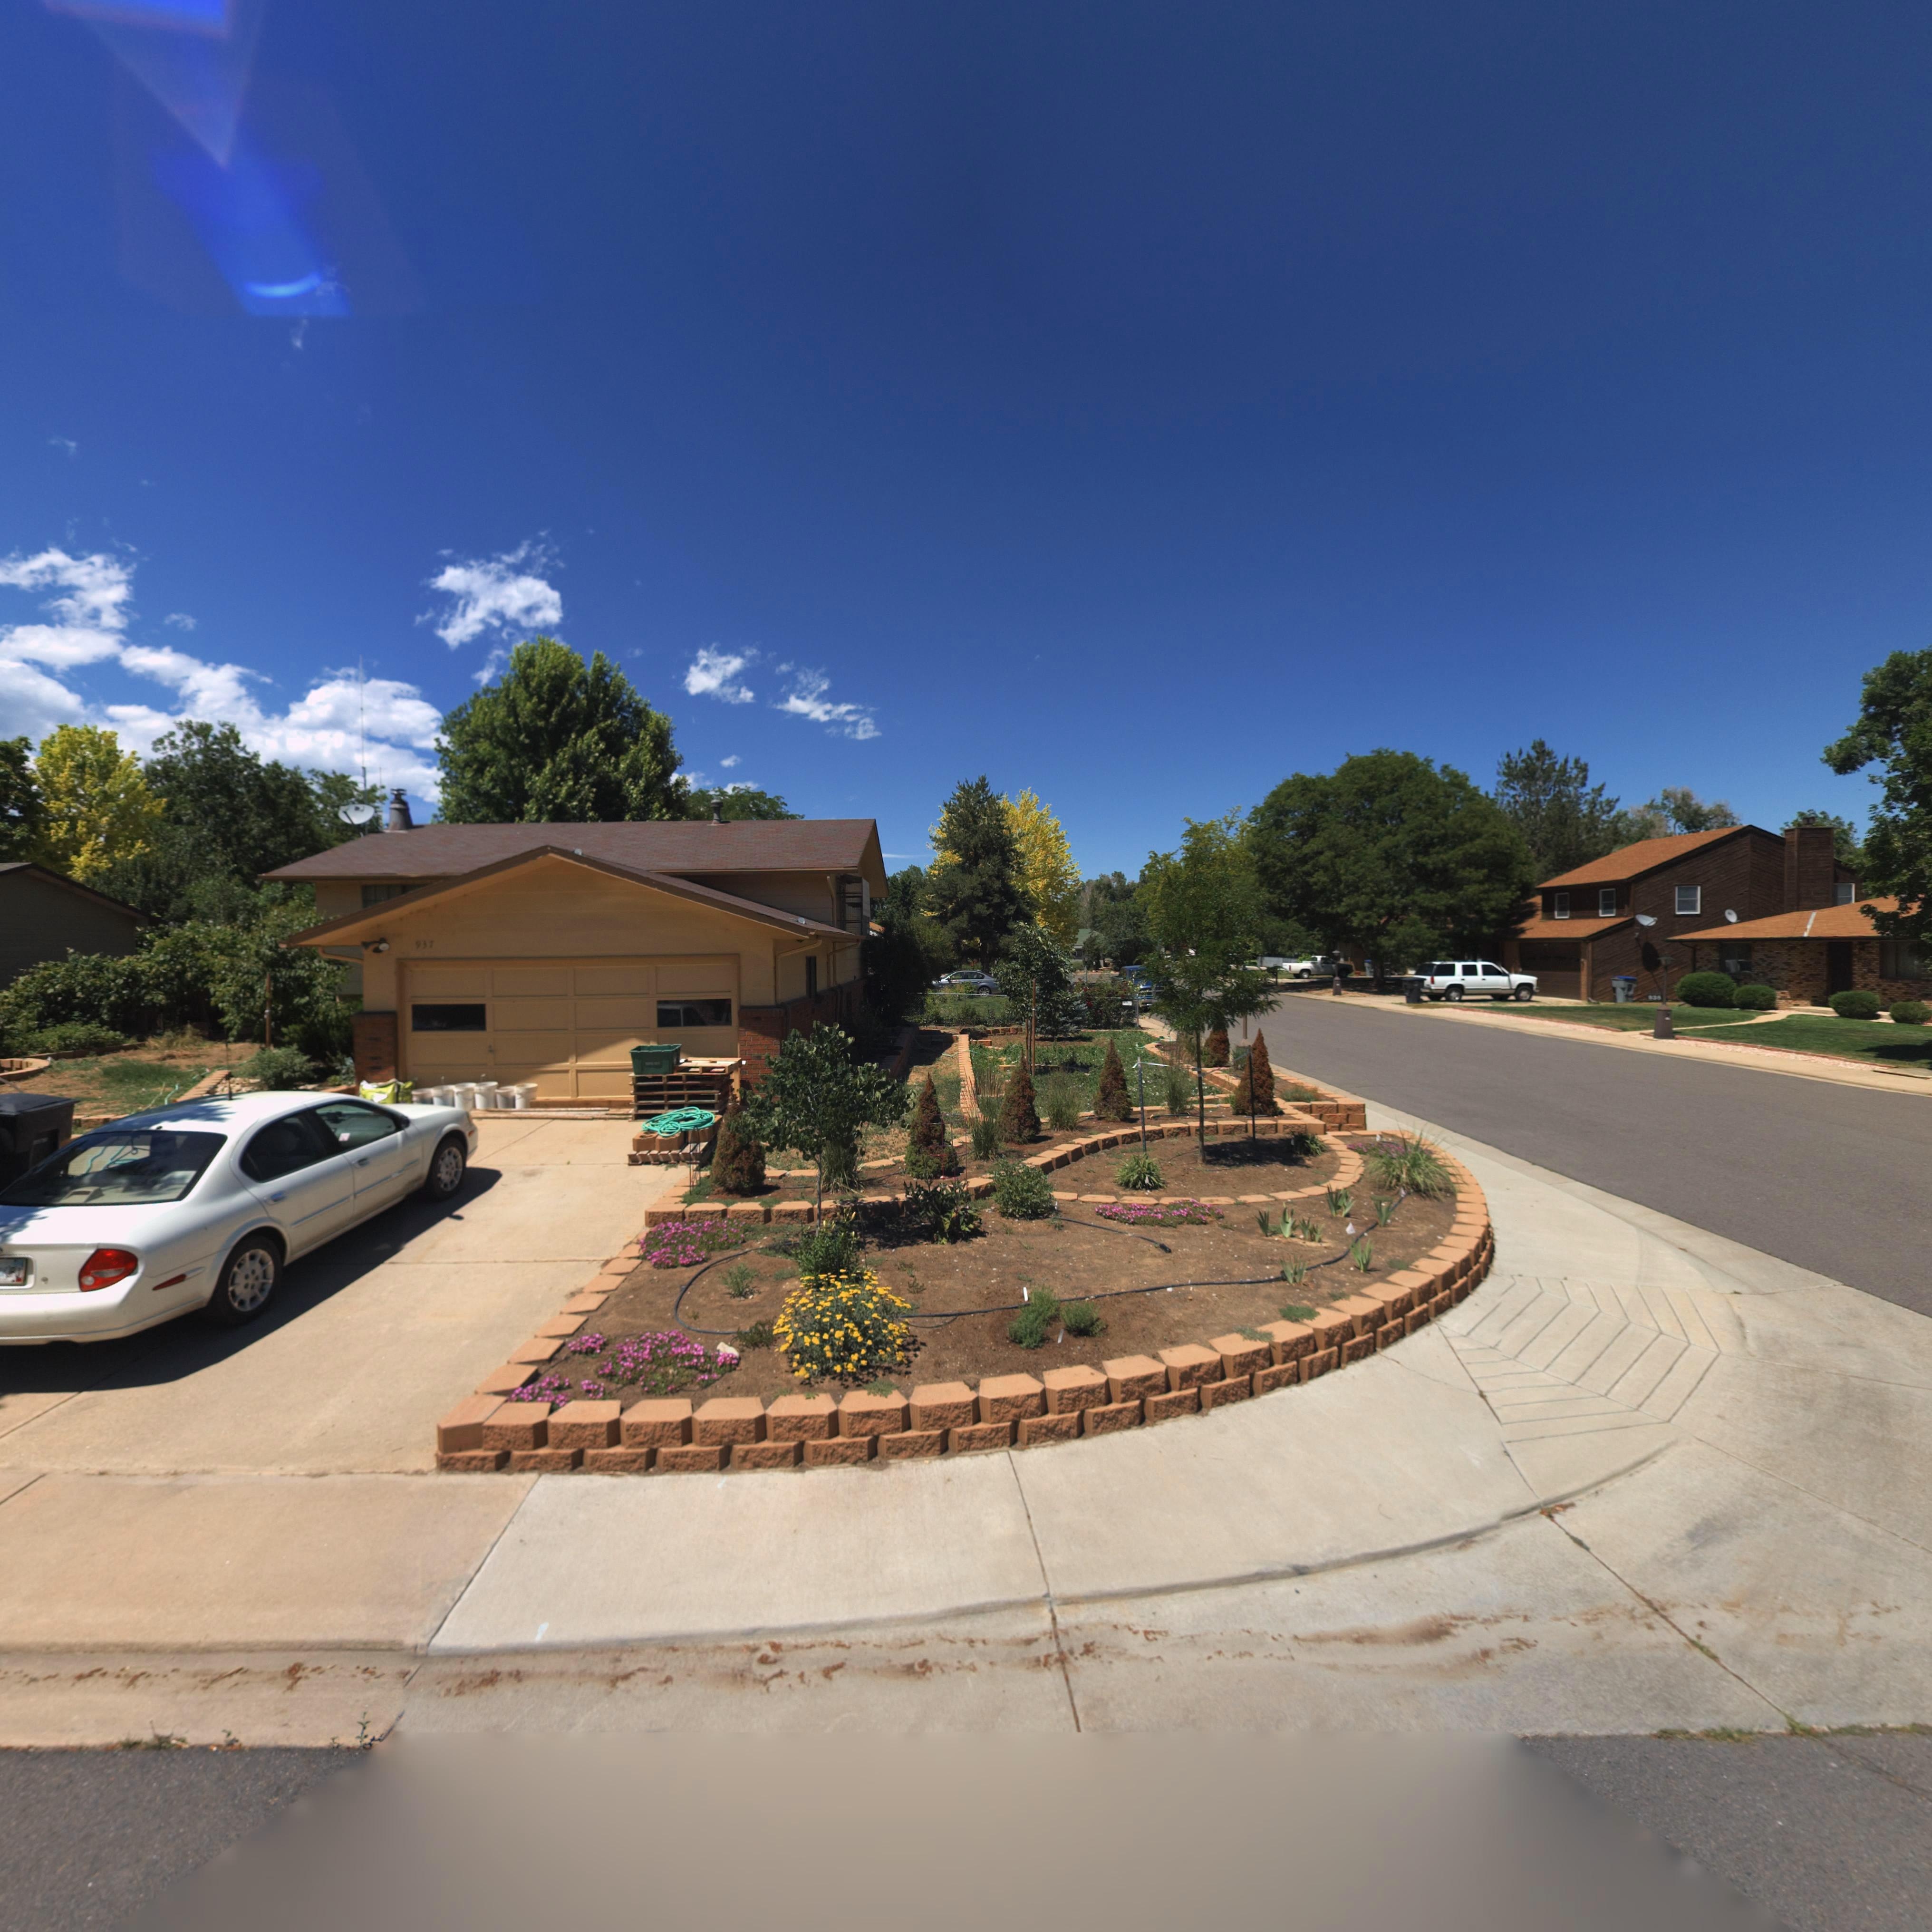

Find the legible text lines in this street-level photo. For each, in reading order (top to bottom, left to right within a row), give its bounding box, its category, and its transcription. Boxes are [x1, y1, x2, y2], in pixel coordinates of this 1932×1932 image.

[415, 940, 434, 949] StreetNumber: 937
[1648, 995, 1661, 1000] StreetNumber: 93*